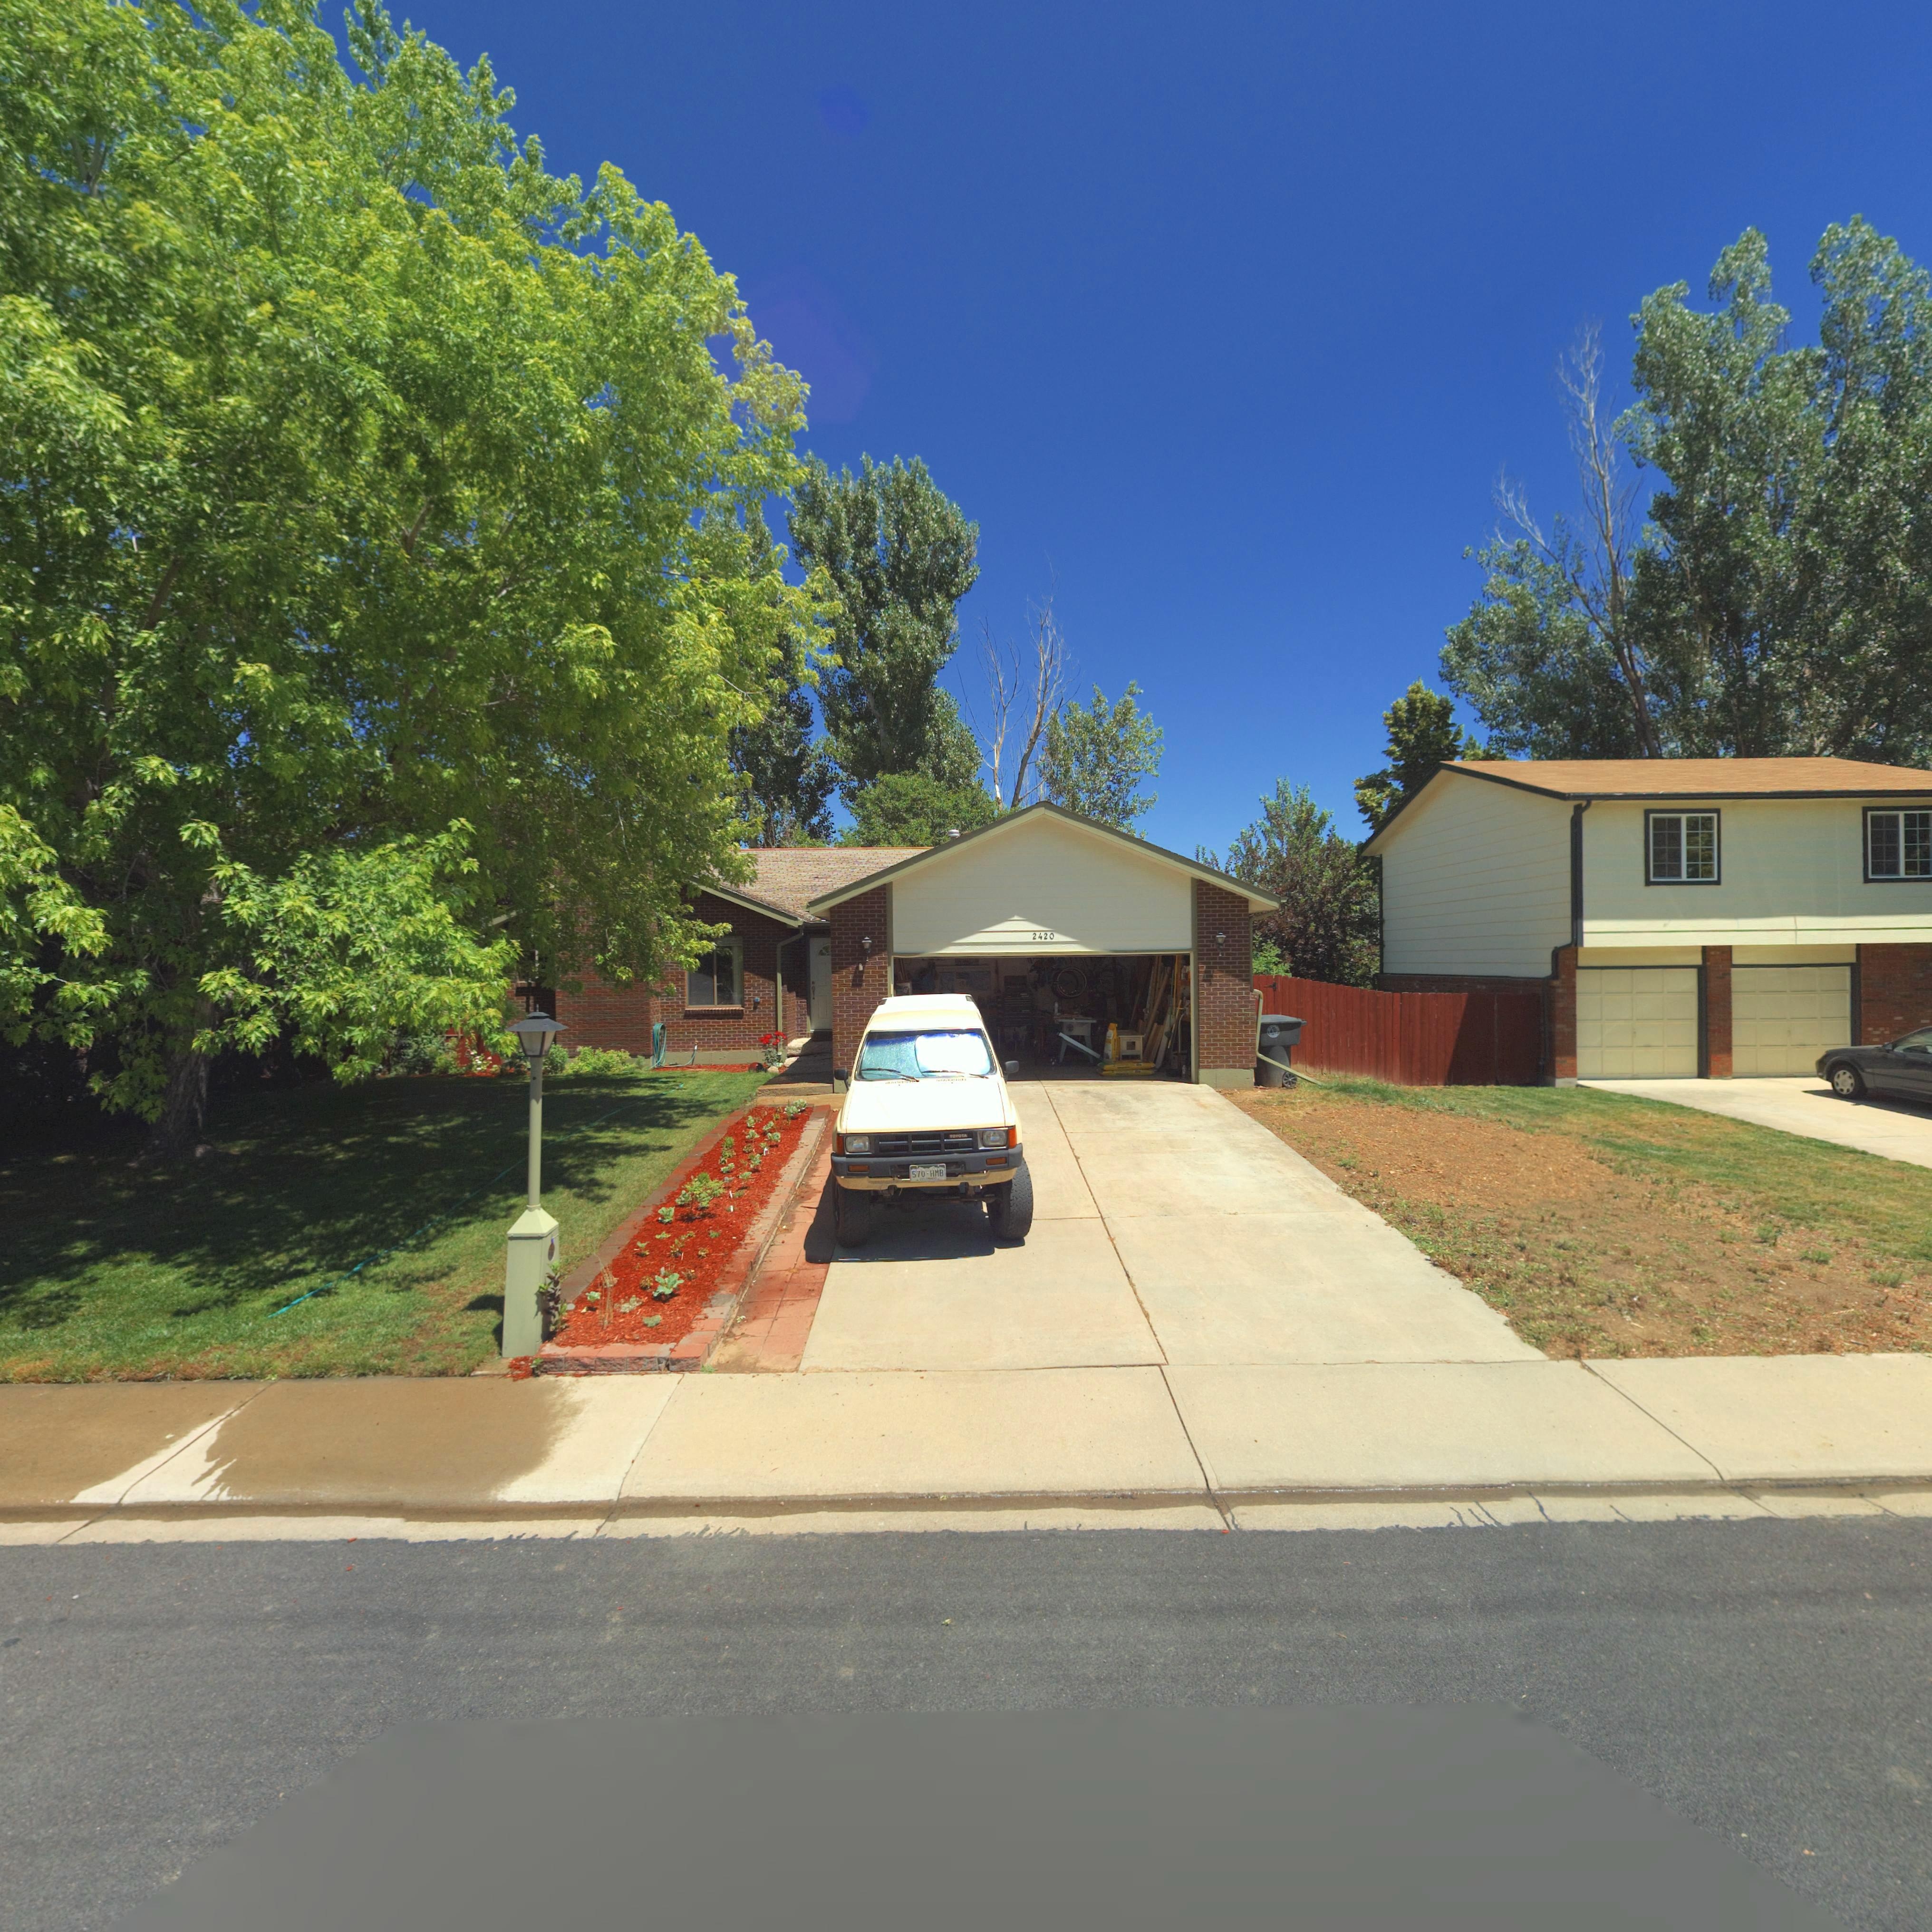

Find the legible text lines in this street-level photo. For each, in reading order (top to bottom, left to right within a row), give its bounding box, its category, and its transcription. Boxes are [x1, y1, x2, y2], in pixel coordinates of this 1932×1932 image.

[1032, 932, 1054, 940] StreetNumber: 2420